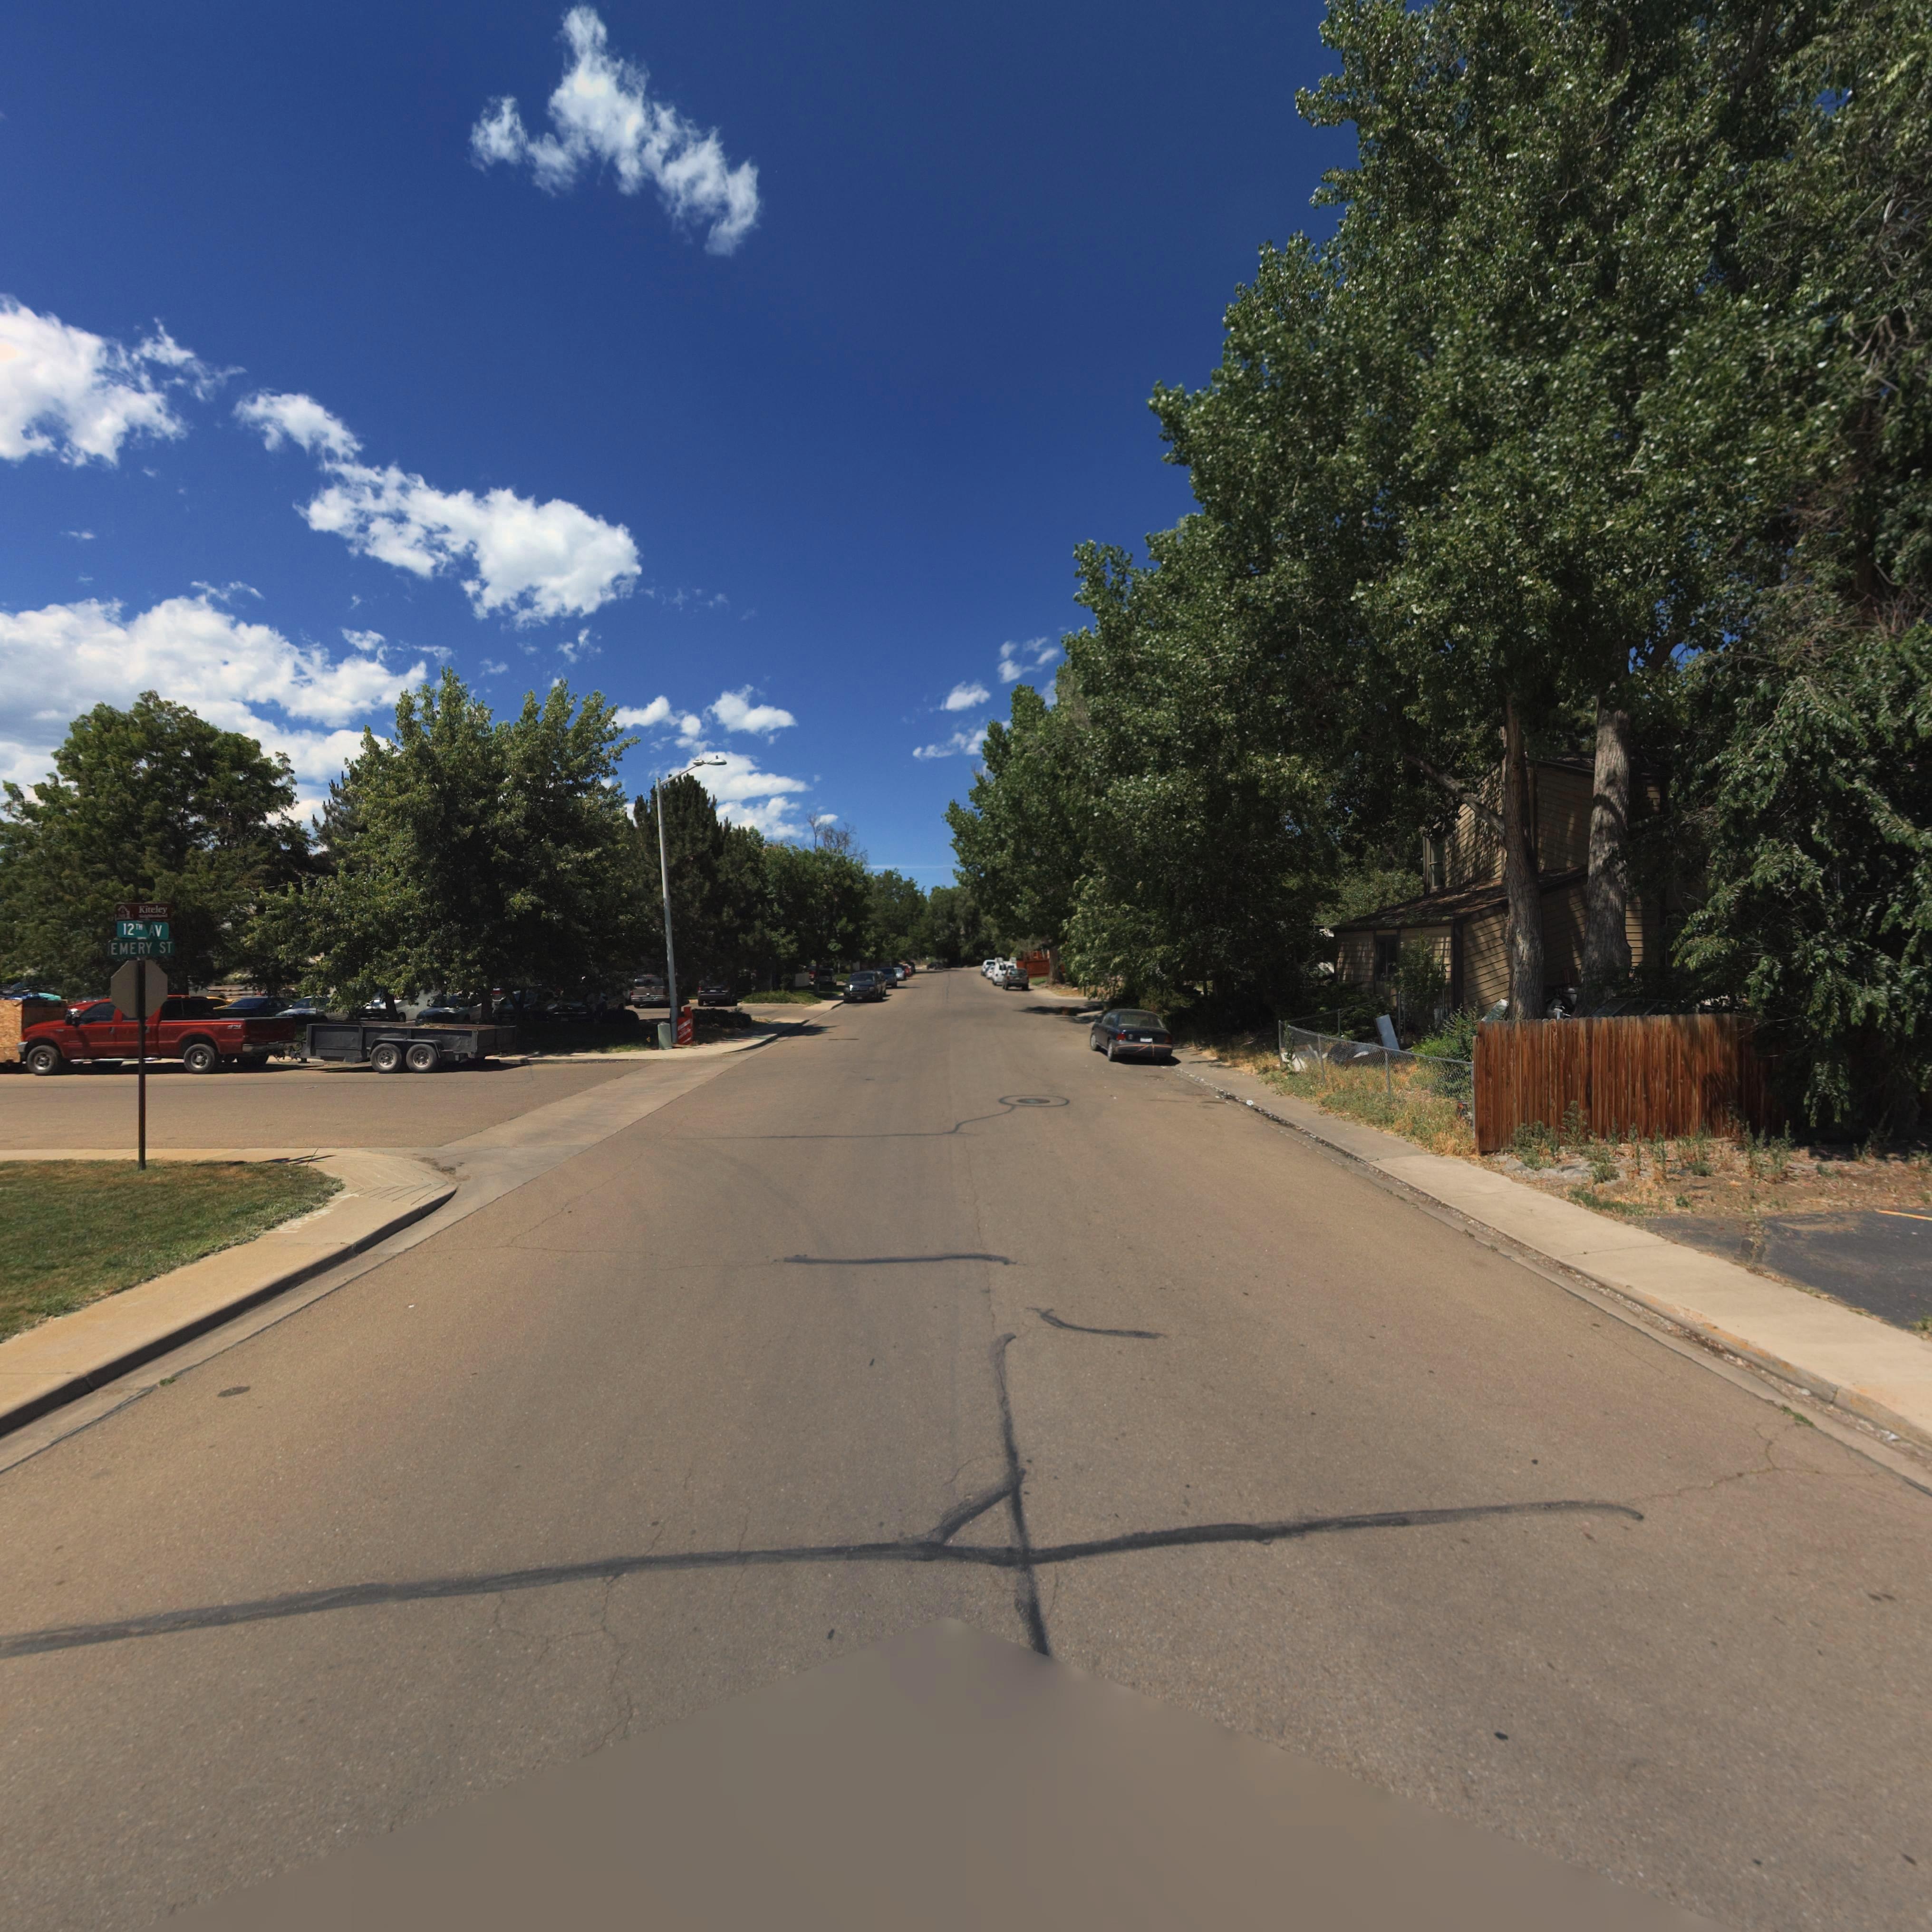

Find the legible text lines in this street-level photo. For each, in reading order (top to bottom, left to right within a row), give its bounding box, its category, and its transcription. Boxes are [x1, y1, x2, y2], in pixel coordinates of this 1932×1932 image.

[123, 922, 163, 937] StreetName: 12TH AV
[110, 941, 173, 955] StreetName: EMERY ST